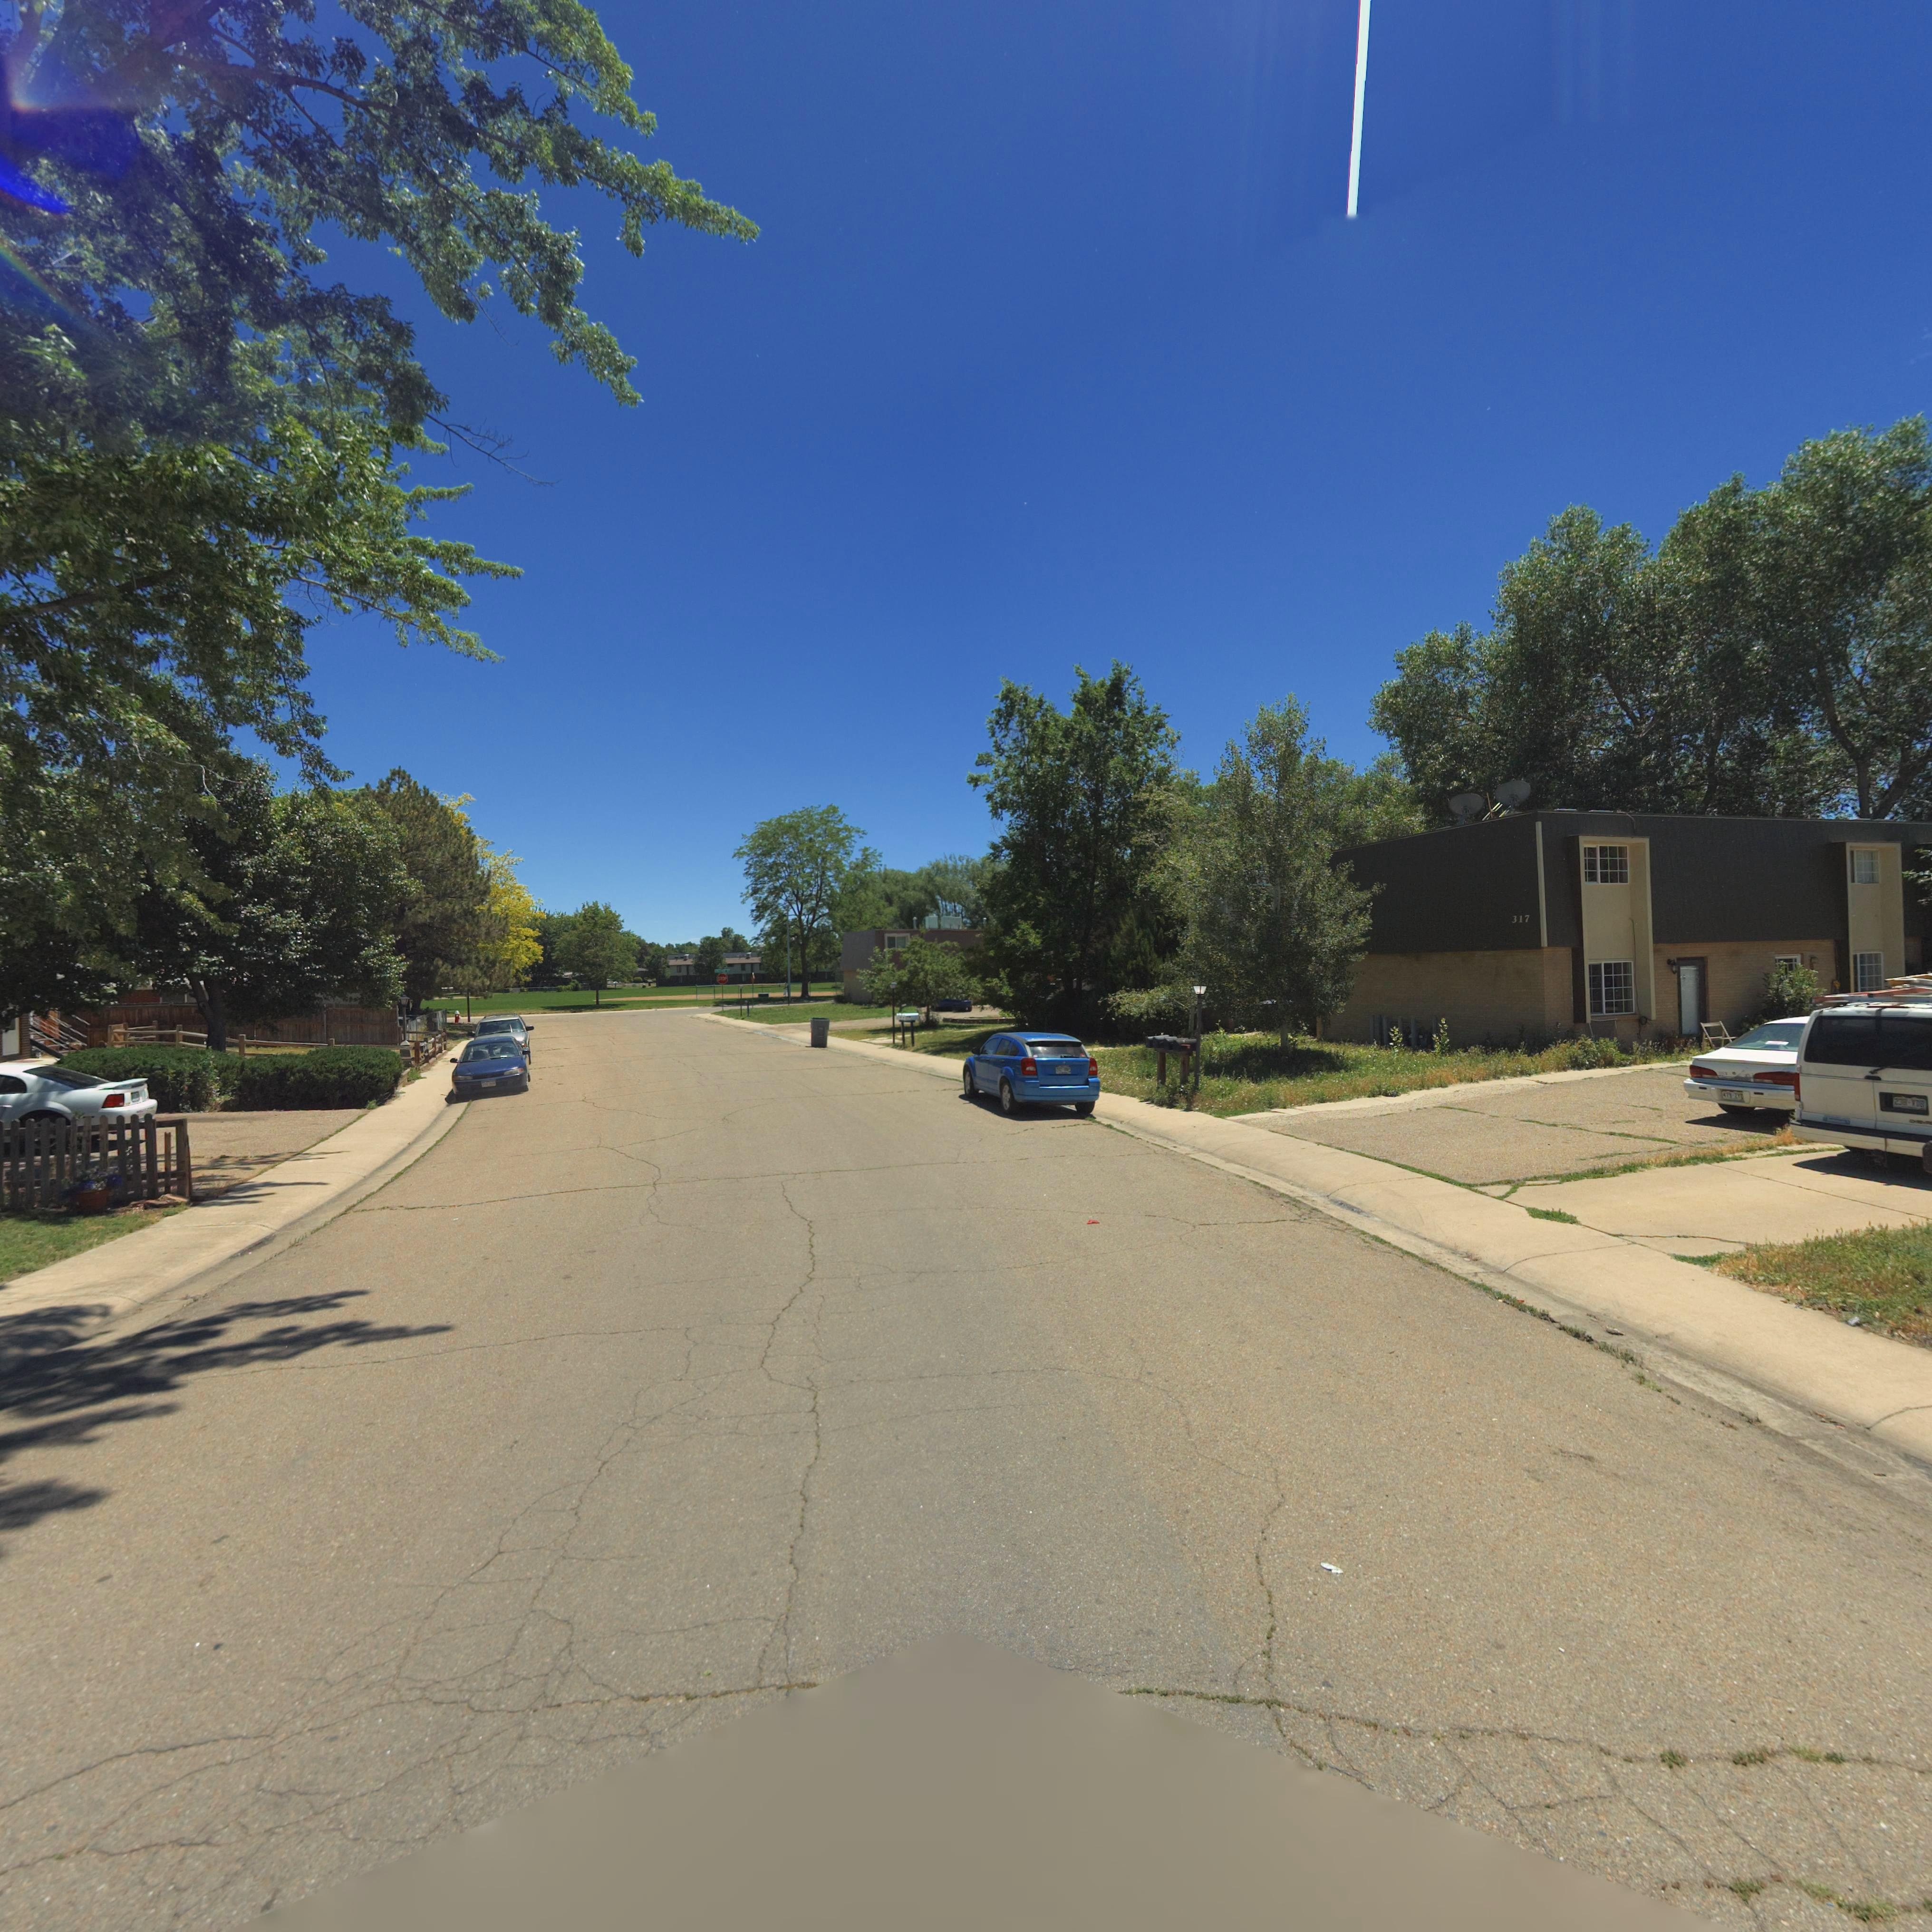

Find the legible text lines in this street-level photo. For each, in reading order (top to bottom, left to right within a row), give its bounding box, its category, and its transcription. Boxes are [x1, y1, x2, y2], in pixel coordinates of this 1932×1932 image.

[1511, 914, 1530, 923] StreetNumber: 317